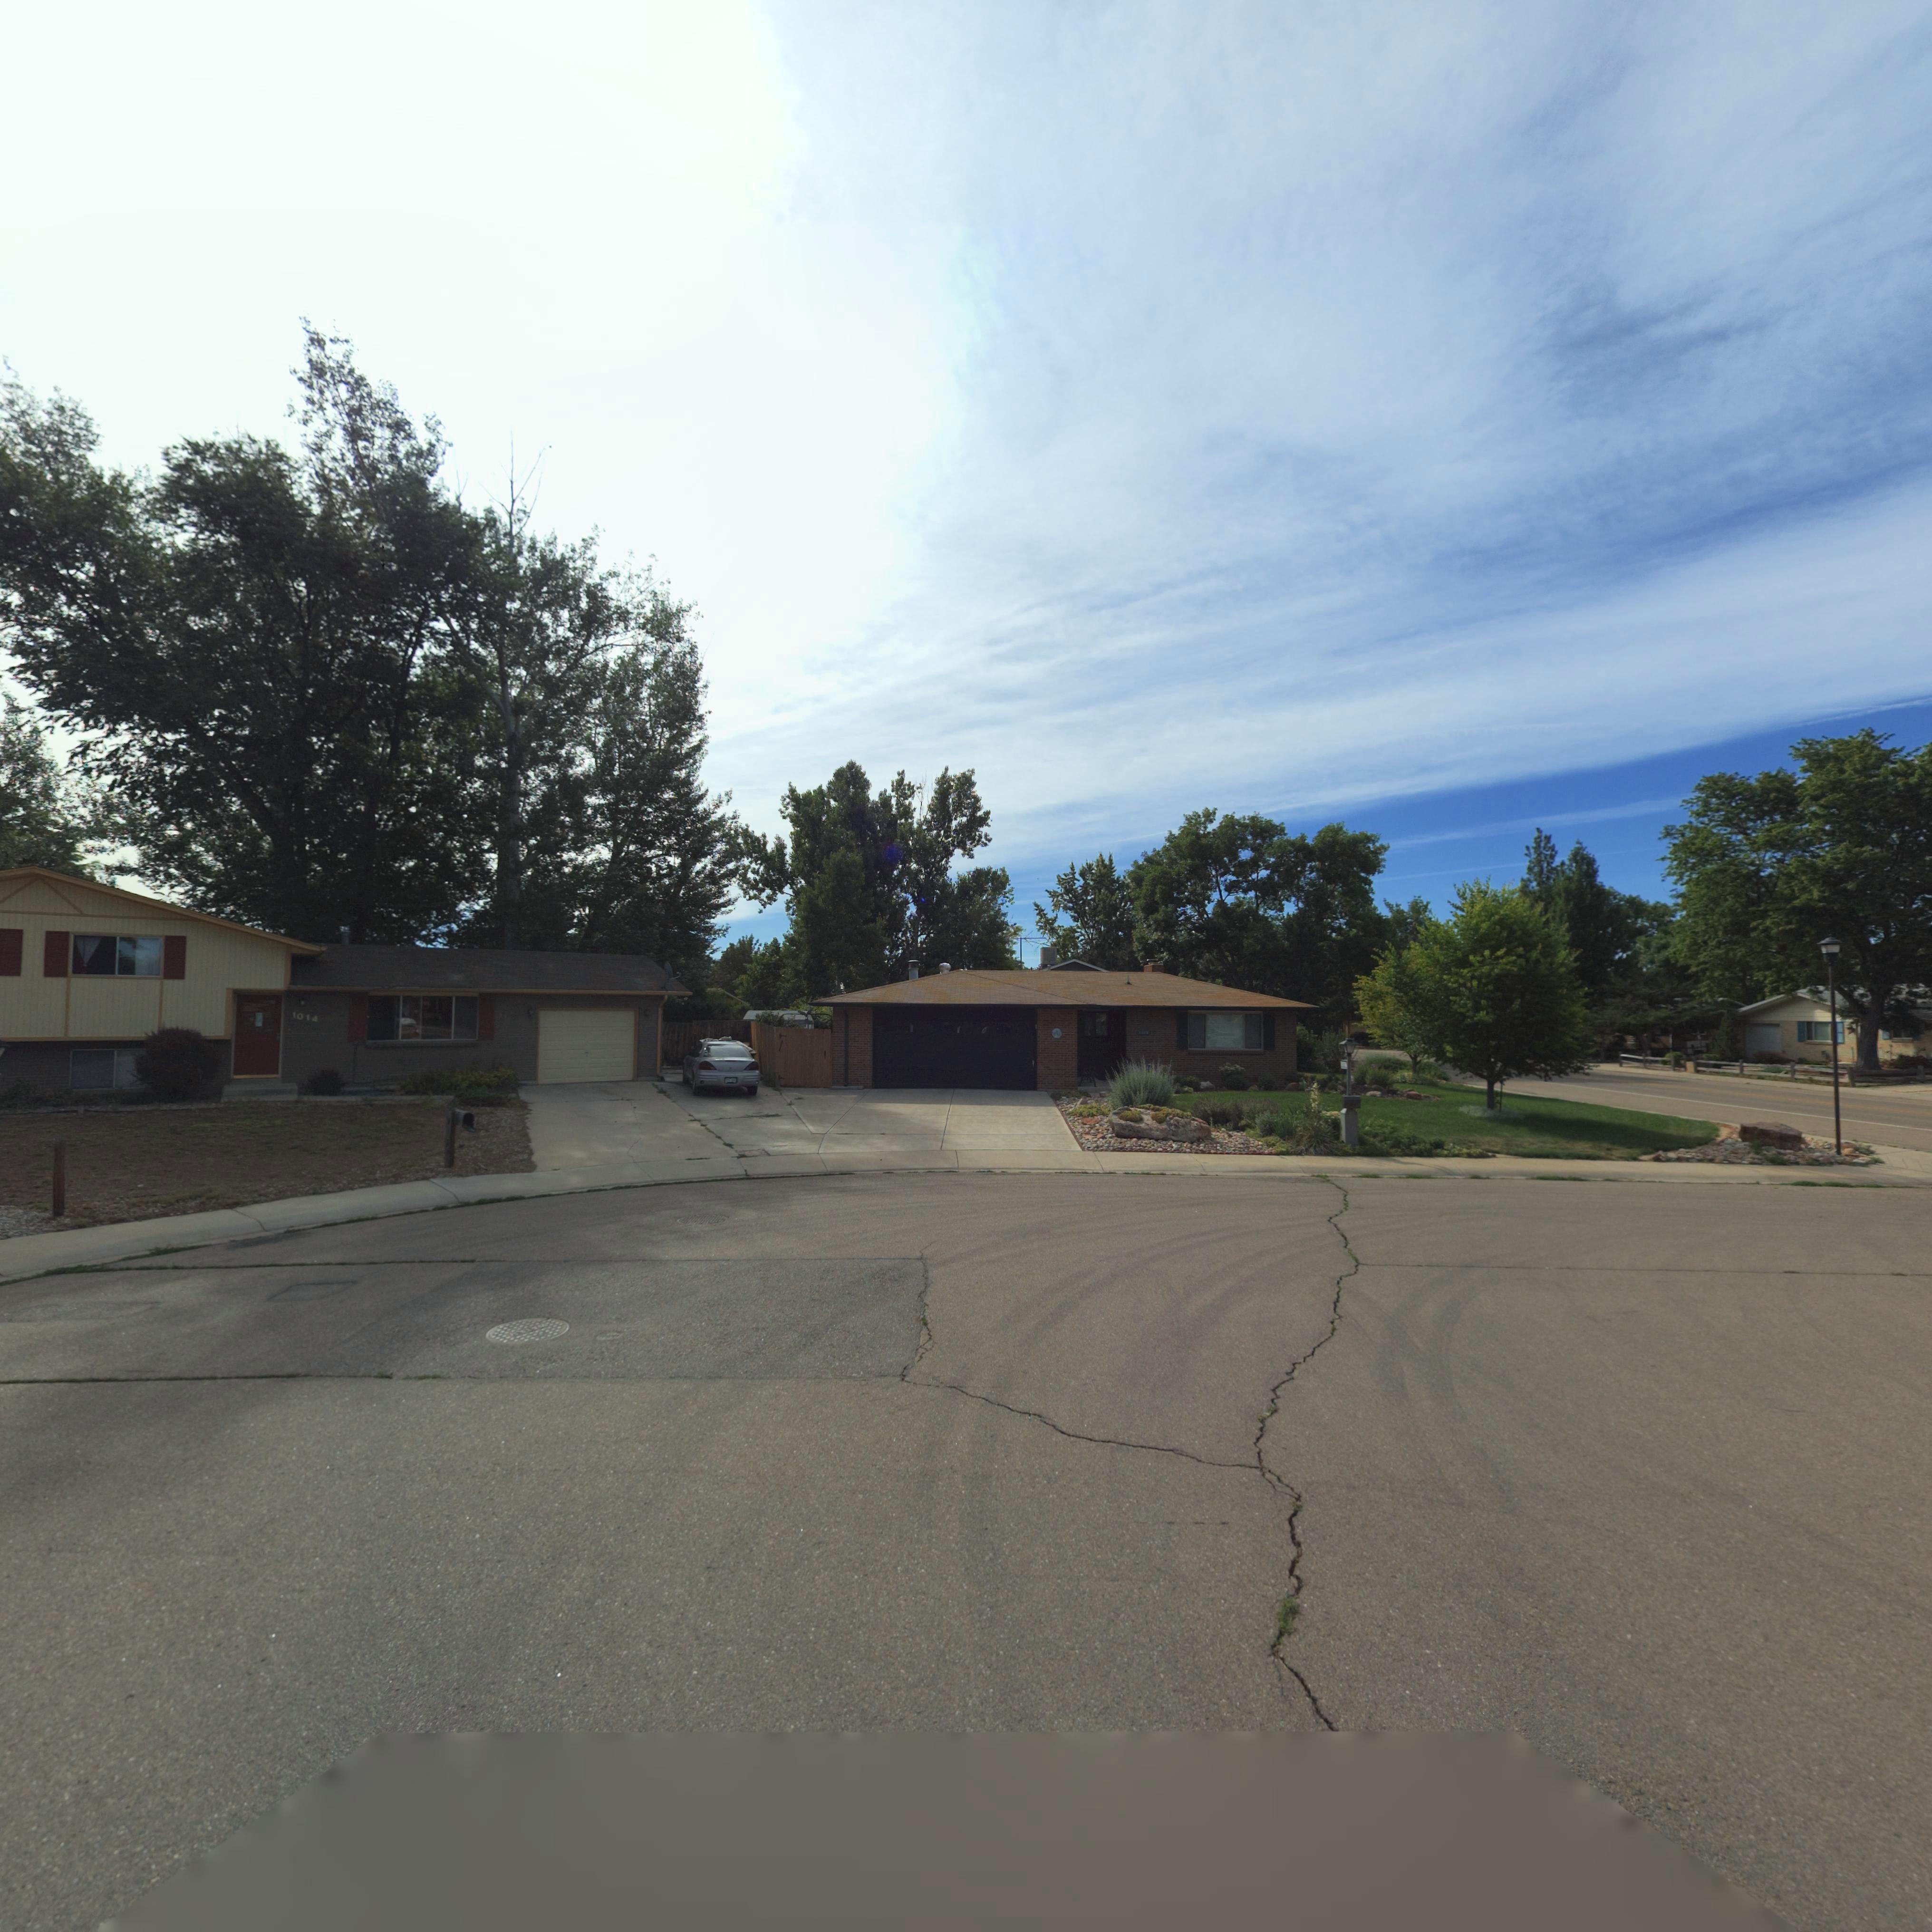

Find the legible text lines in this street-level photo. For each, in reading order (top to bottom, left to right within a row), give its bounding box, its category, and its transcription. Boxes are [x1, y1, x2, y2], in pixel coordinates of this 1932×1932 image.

[292, 1012, 318, 1022] StreetNumber: 1014
[1138, 1030, 1149, 1035] StreetNumber: 1***